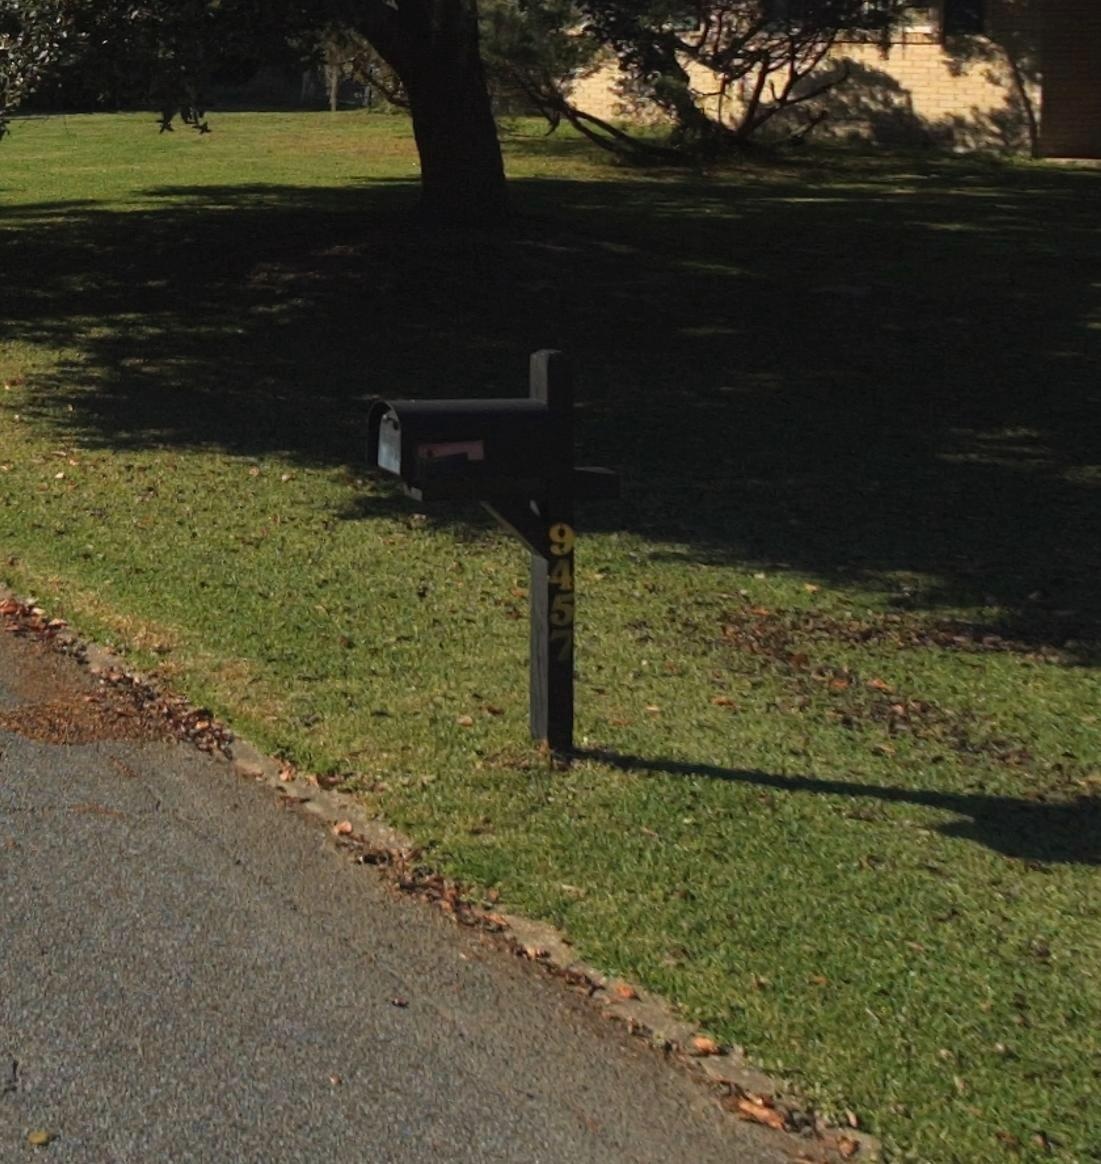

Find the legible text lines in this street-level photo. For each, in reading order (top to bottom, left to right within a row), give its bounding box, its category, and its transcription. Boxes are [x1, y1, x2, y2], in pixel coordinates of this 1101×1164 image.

[546, 522, 575, 664] StreetNumber: 9457